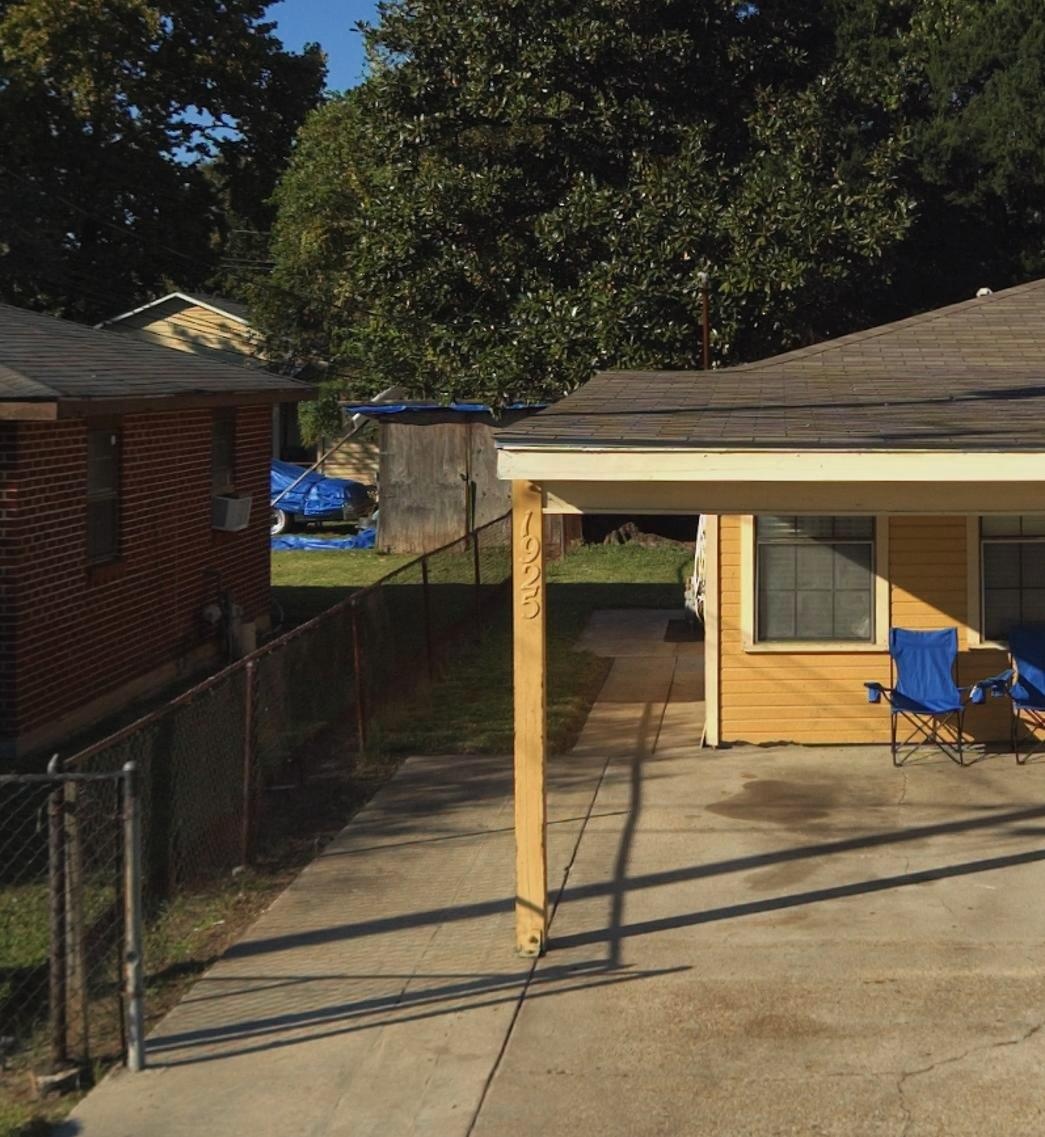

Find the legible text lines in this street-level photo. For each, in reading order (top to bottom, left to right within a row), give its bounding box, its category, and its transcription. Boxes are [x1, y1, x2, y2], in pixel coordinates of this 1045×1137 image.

[517, 509, 542, 622] StreetNumber: 1925